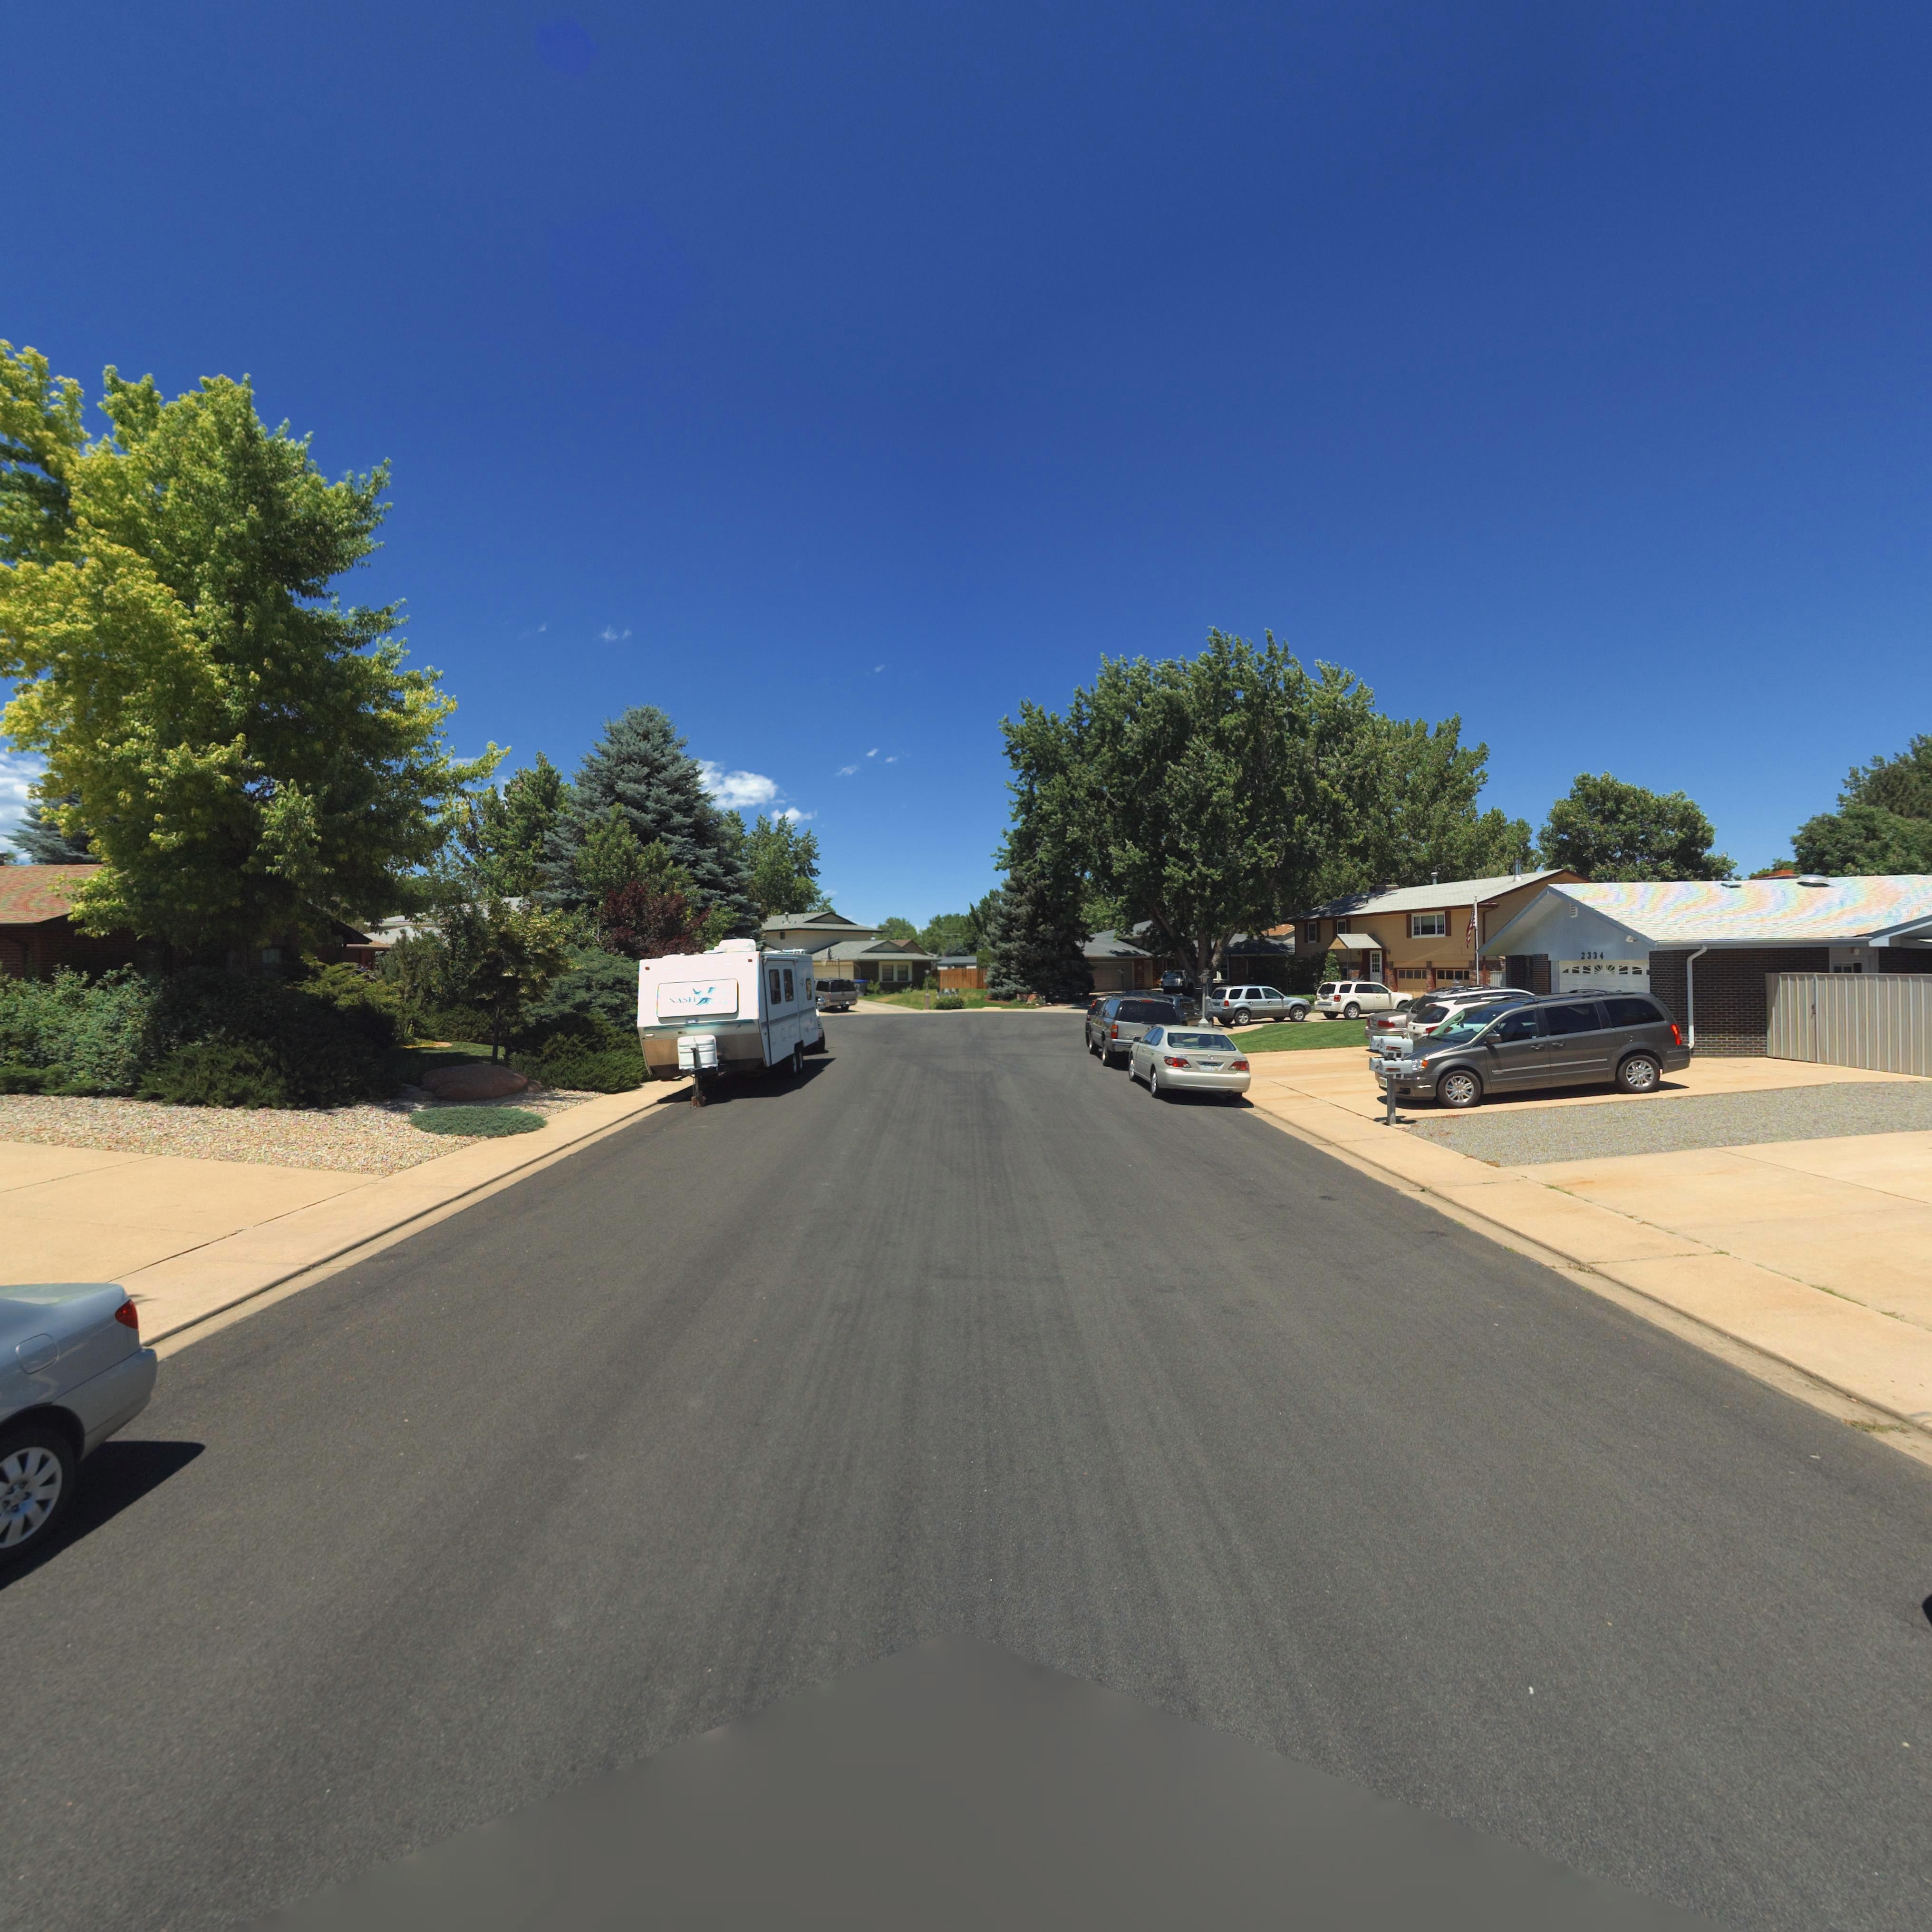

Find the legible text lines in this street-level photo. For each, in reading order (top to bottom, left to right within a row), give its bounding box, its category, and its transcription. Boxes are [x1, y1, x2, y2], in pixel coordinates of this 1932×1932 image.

[1581, 951, 1604, 959] StreetNumber: 2334